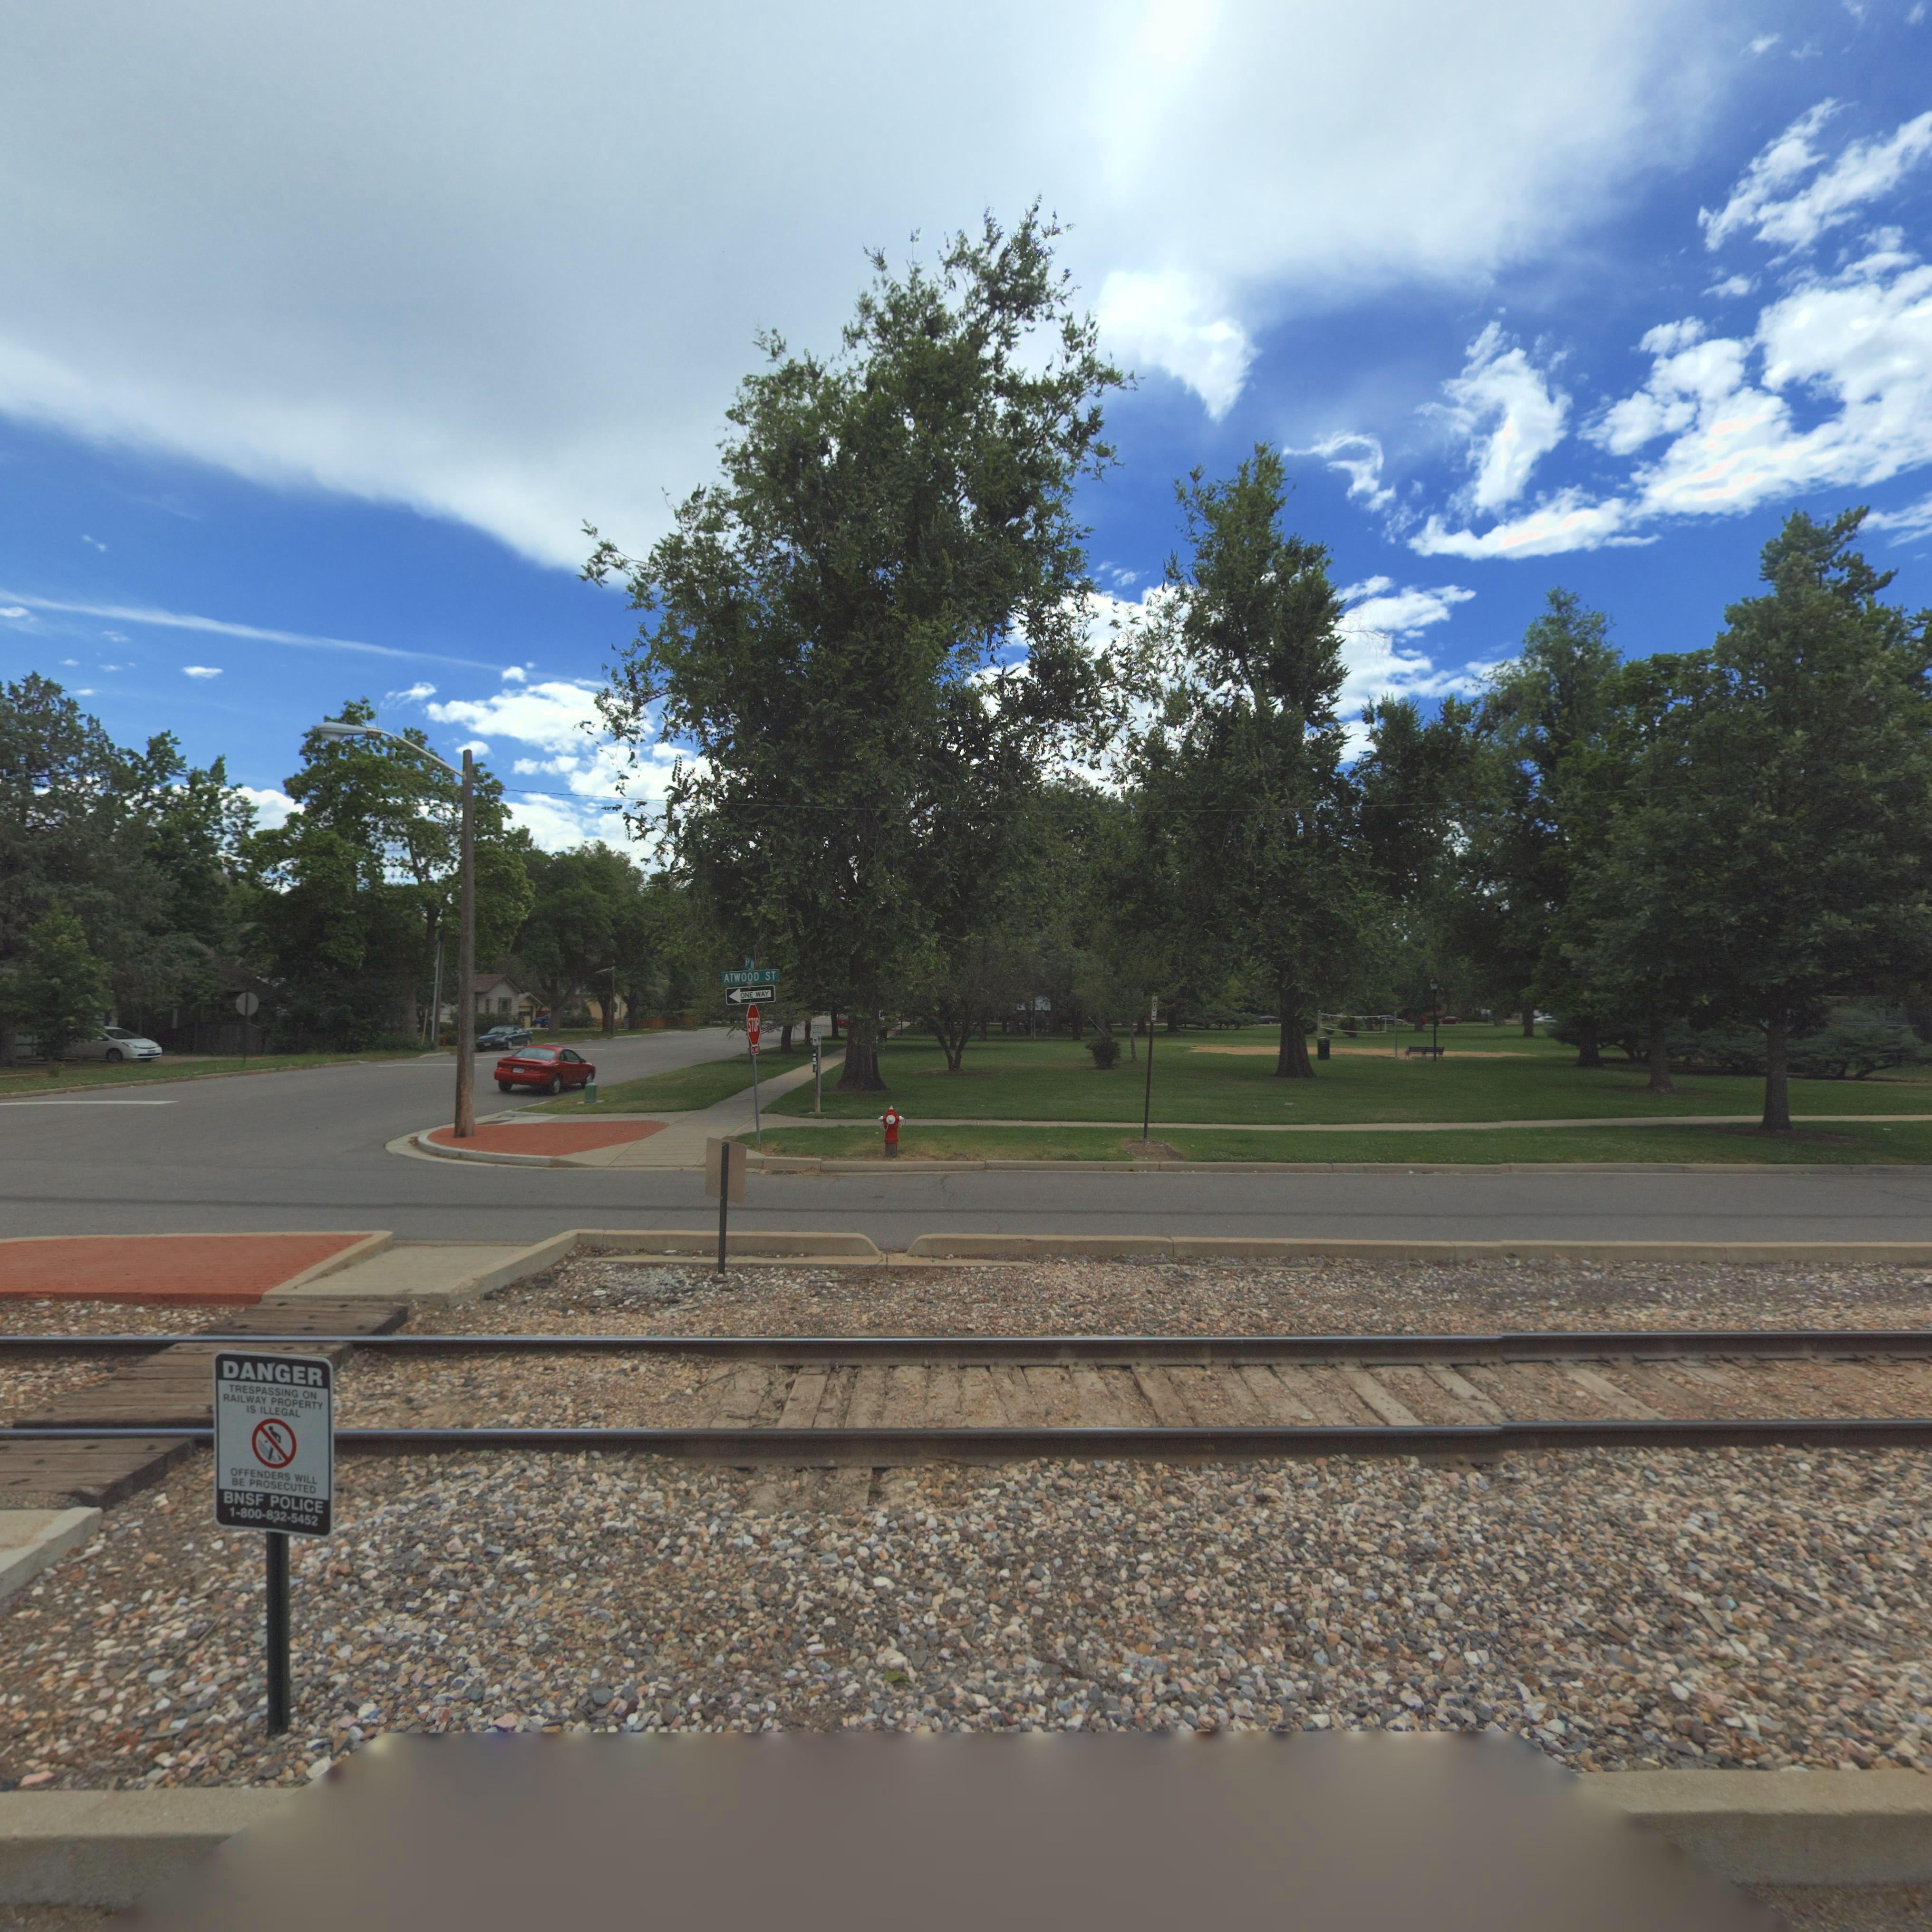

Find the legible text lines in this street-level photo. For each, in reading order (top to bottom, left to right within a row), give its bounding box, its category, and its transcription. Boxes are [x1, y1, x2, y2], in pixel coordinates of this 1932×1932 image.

[745, 957, 754, 970] StreetName: 6** AV
[723, 971, 776, 982] StreetName: ATWOOD ST